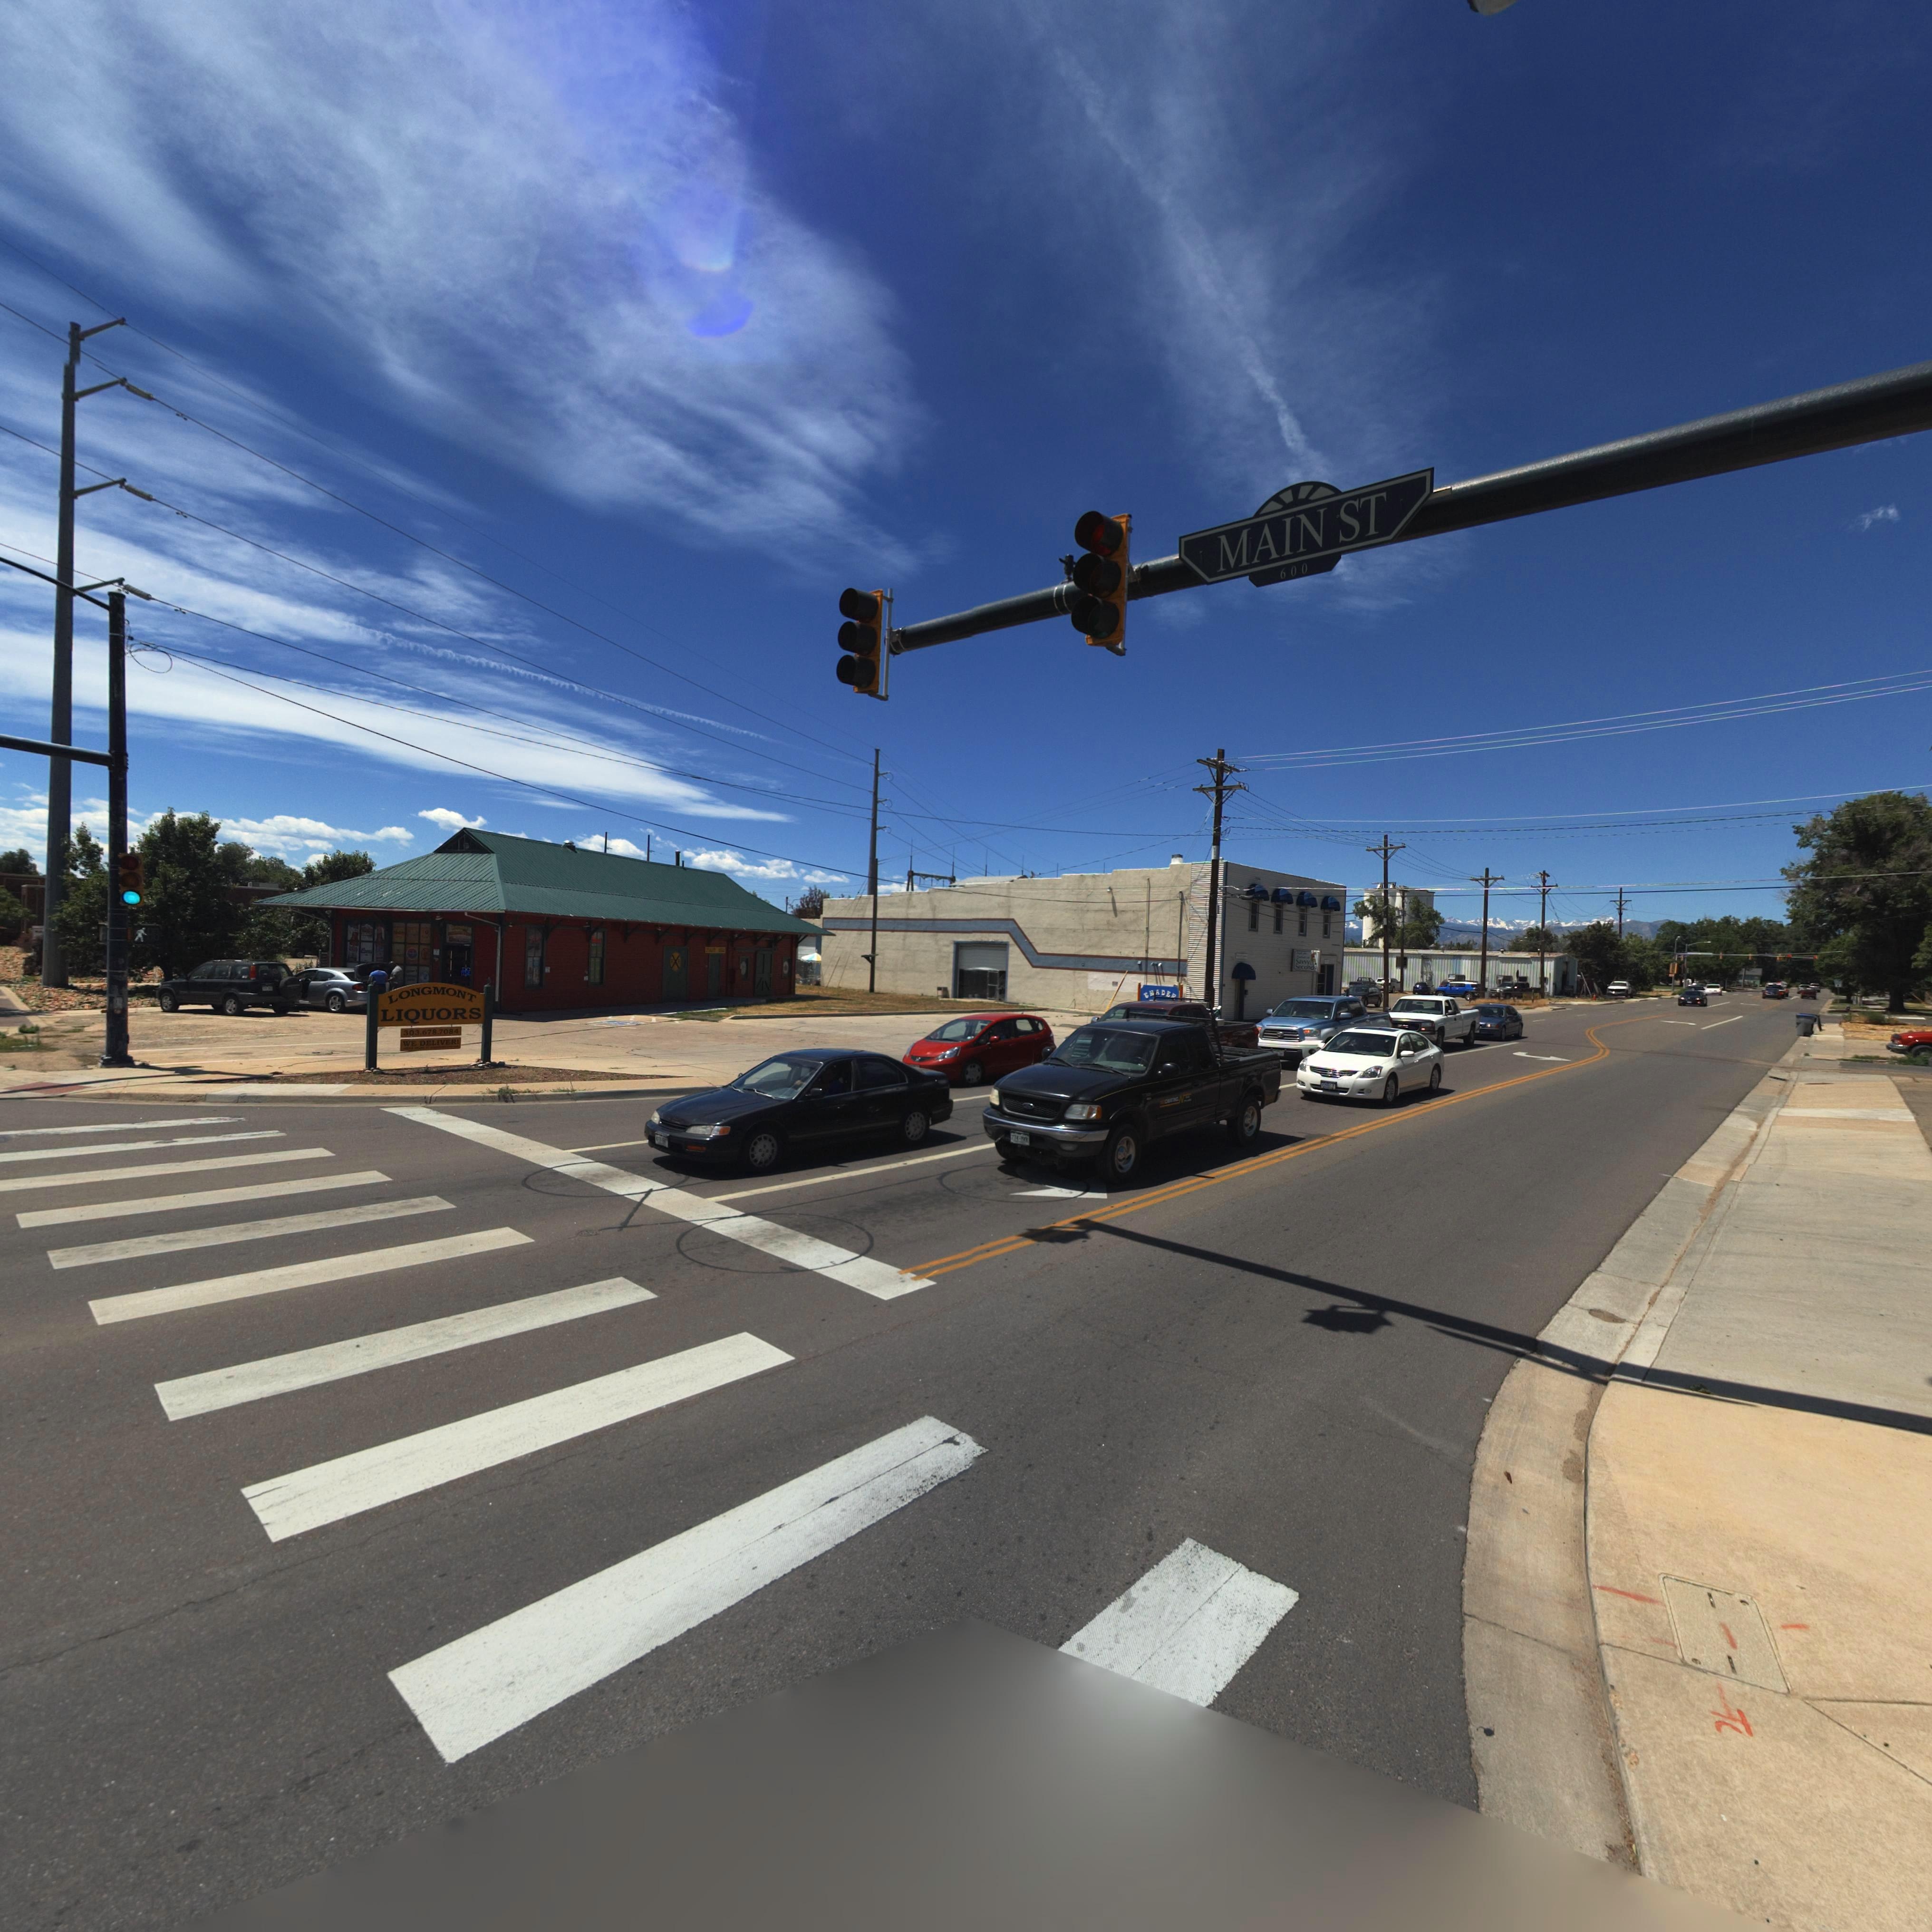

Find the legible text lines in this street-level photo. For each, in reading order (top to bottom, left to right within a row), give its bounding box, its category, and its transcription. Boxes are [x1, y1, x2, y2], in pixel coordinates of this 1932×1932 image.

[1216, 491, 1388, 573] StreetName: MAIN ST
[1279, 561, 1308, 580] StreetNumberRange: 600
[1295, 957, 1311, 966] BusinessName: Savvy
[1294, 963, 1317, 971] BusinessName: Seconds
[386, 985, 477, 1005] BusinessName: LONGMONT
[1142, 989, 1177, 1001] BusinessName: TRADER
[380, 1007, 482, 1022] BusinessName: LIQUORS